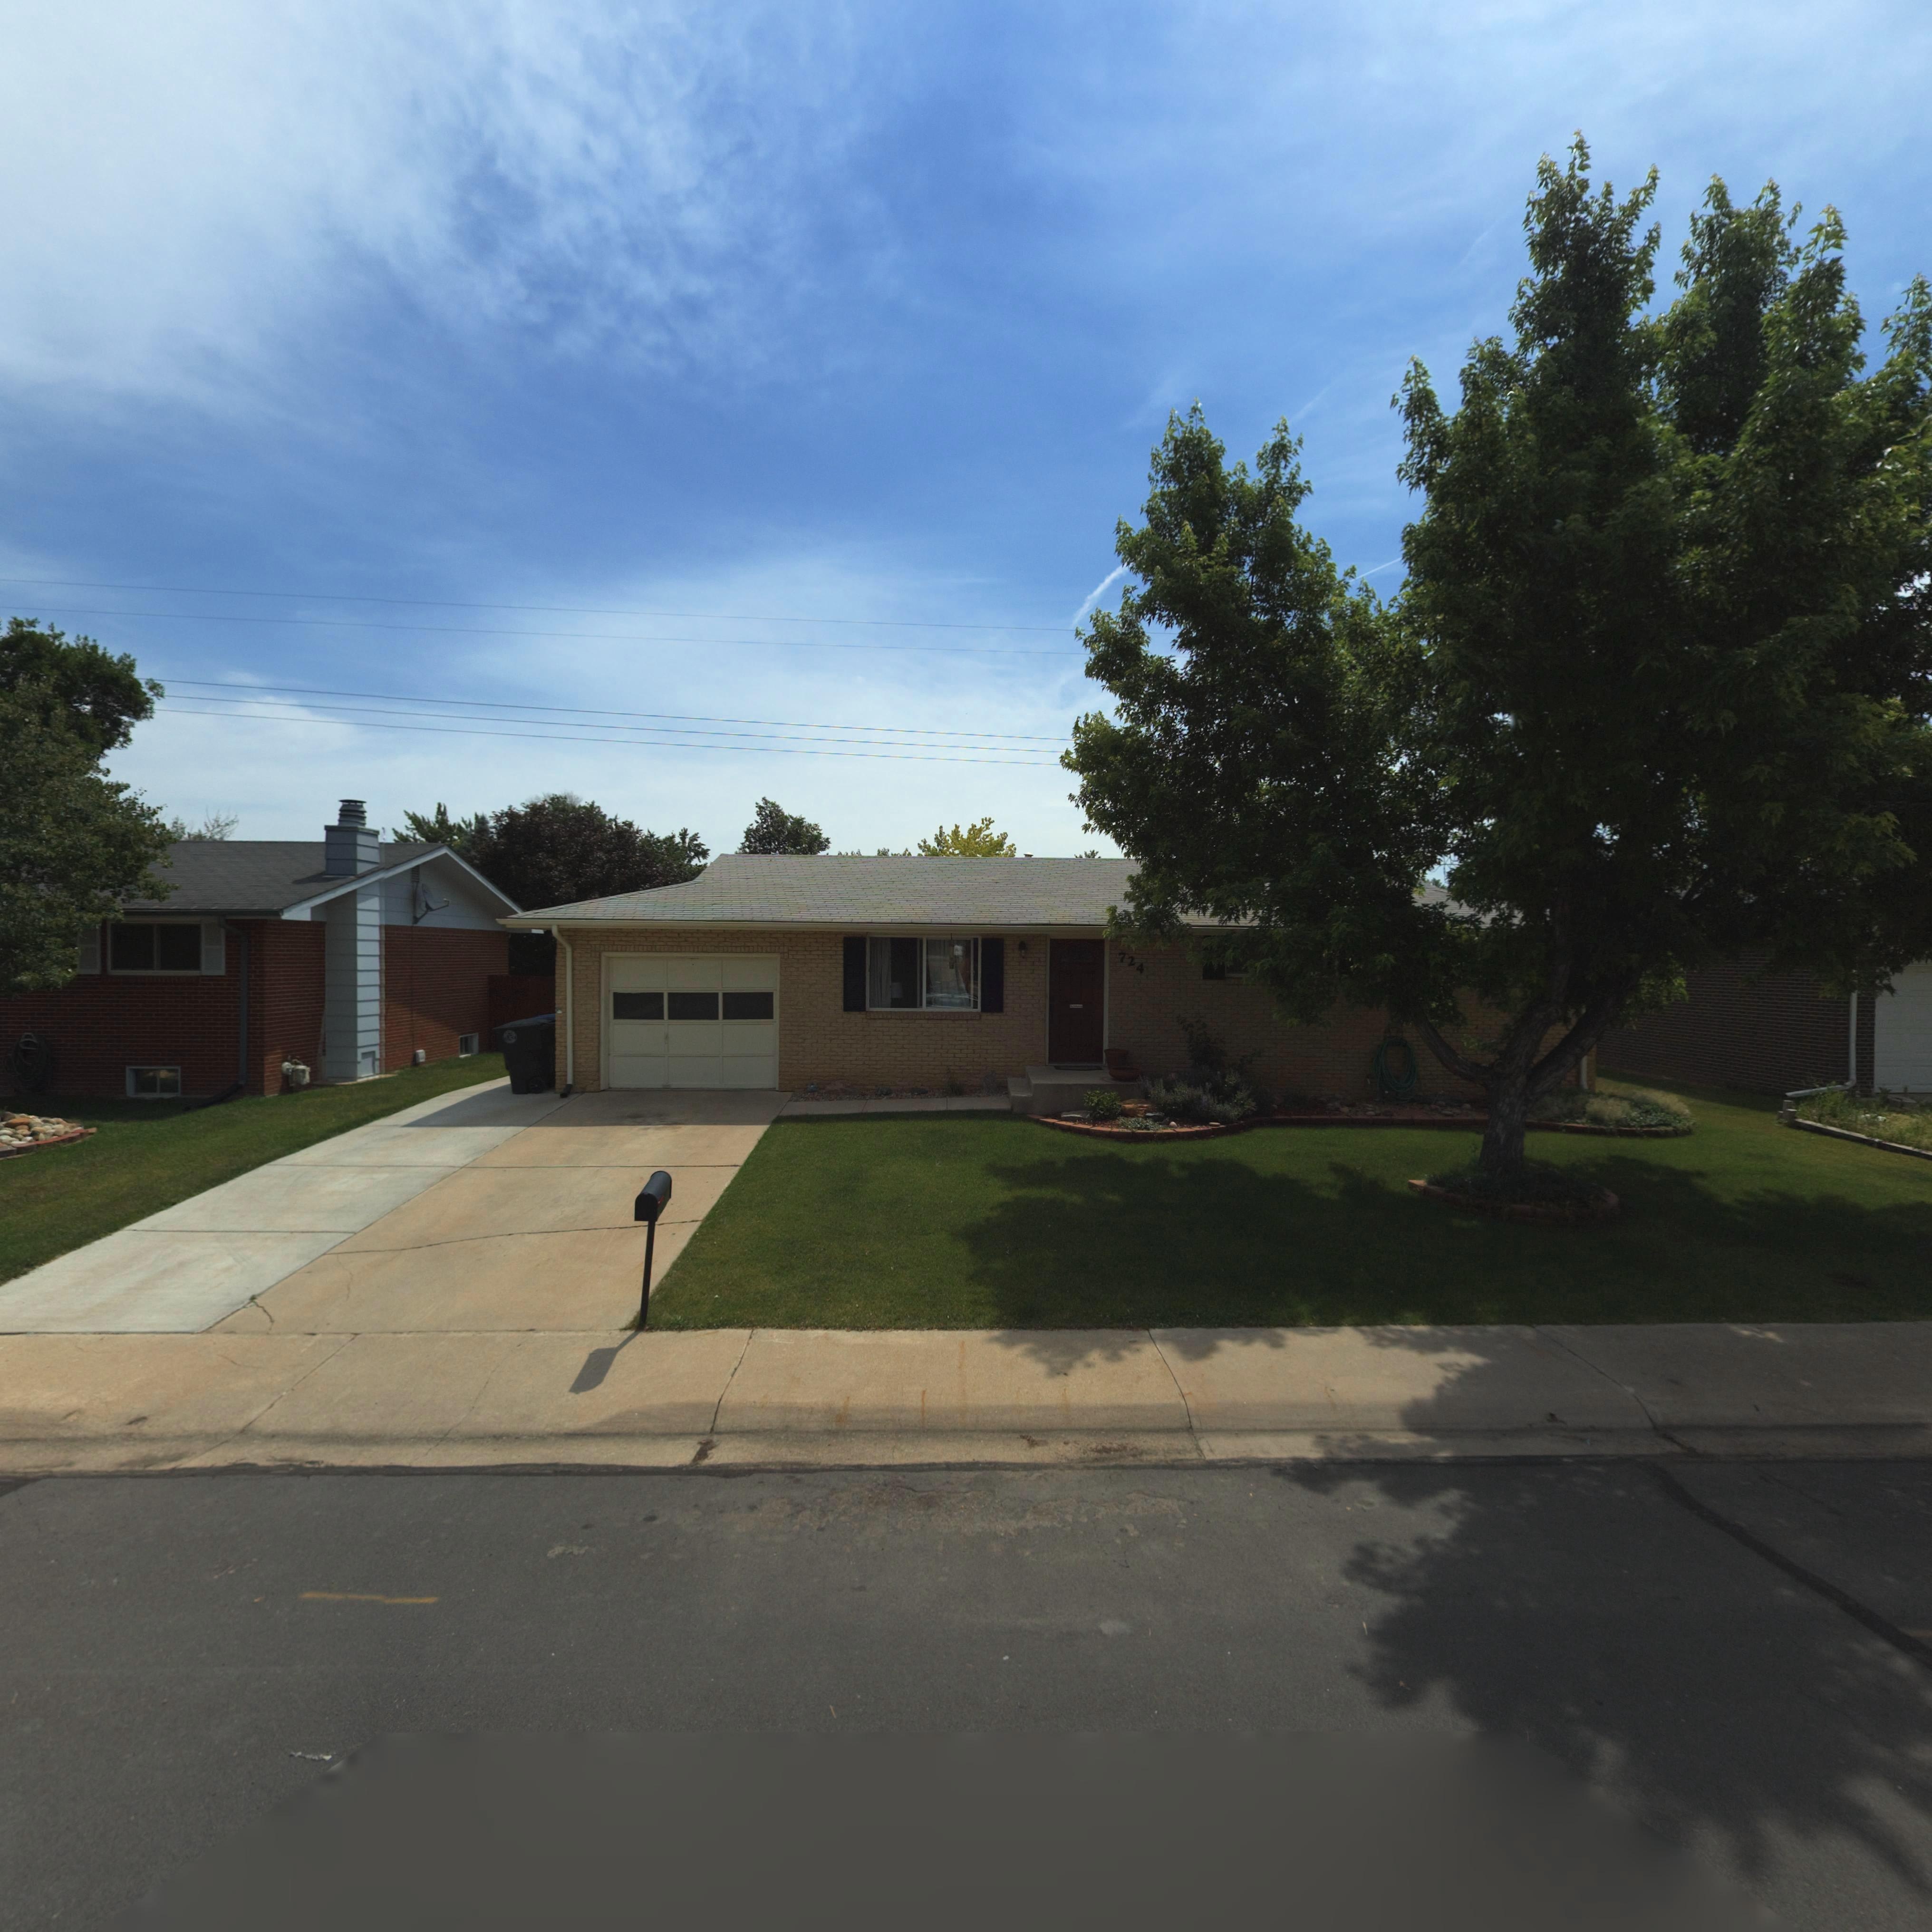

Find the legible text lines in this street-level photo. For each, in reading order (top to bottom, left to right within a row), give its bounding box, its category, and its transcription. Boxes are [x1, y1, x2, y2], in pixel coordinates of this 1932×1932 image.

[1118, 950, 1146, 976] StreetNumber: 724